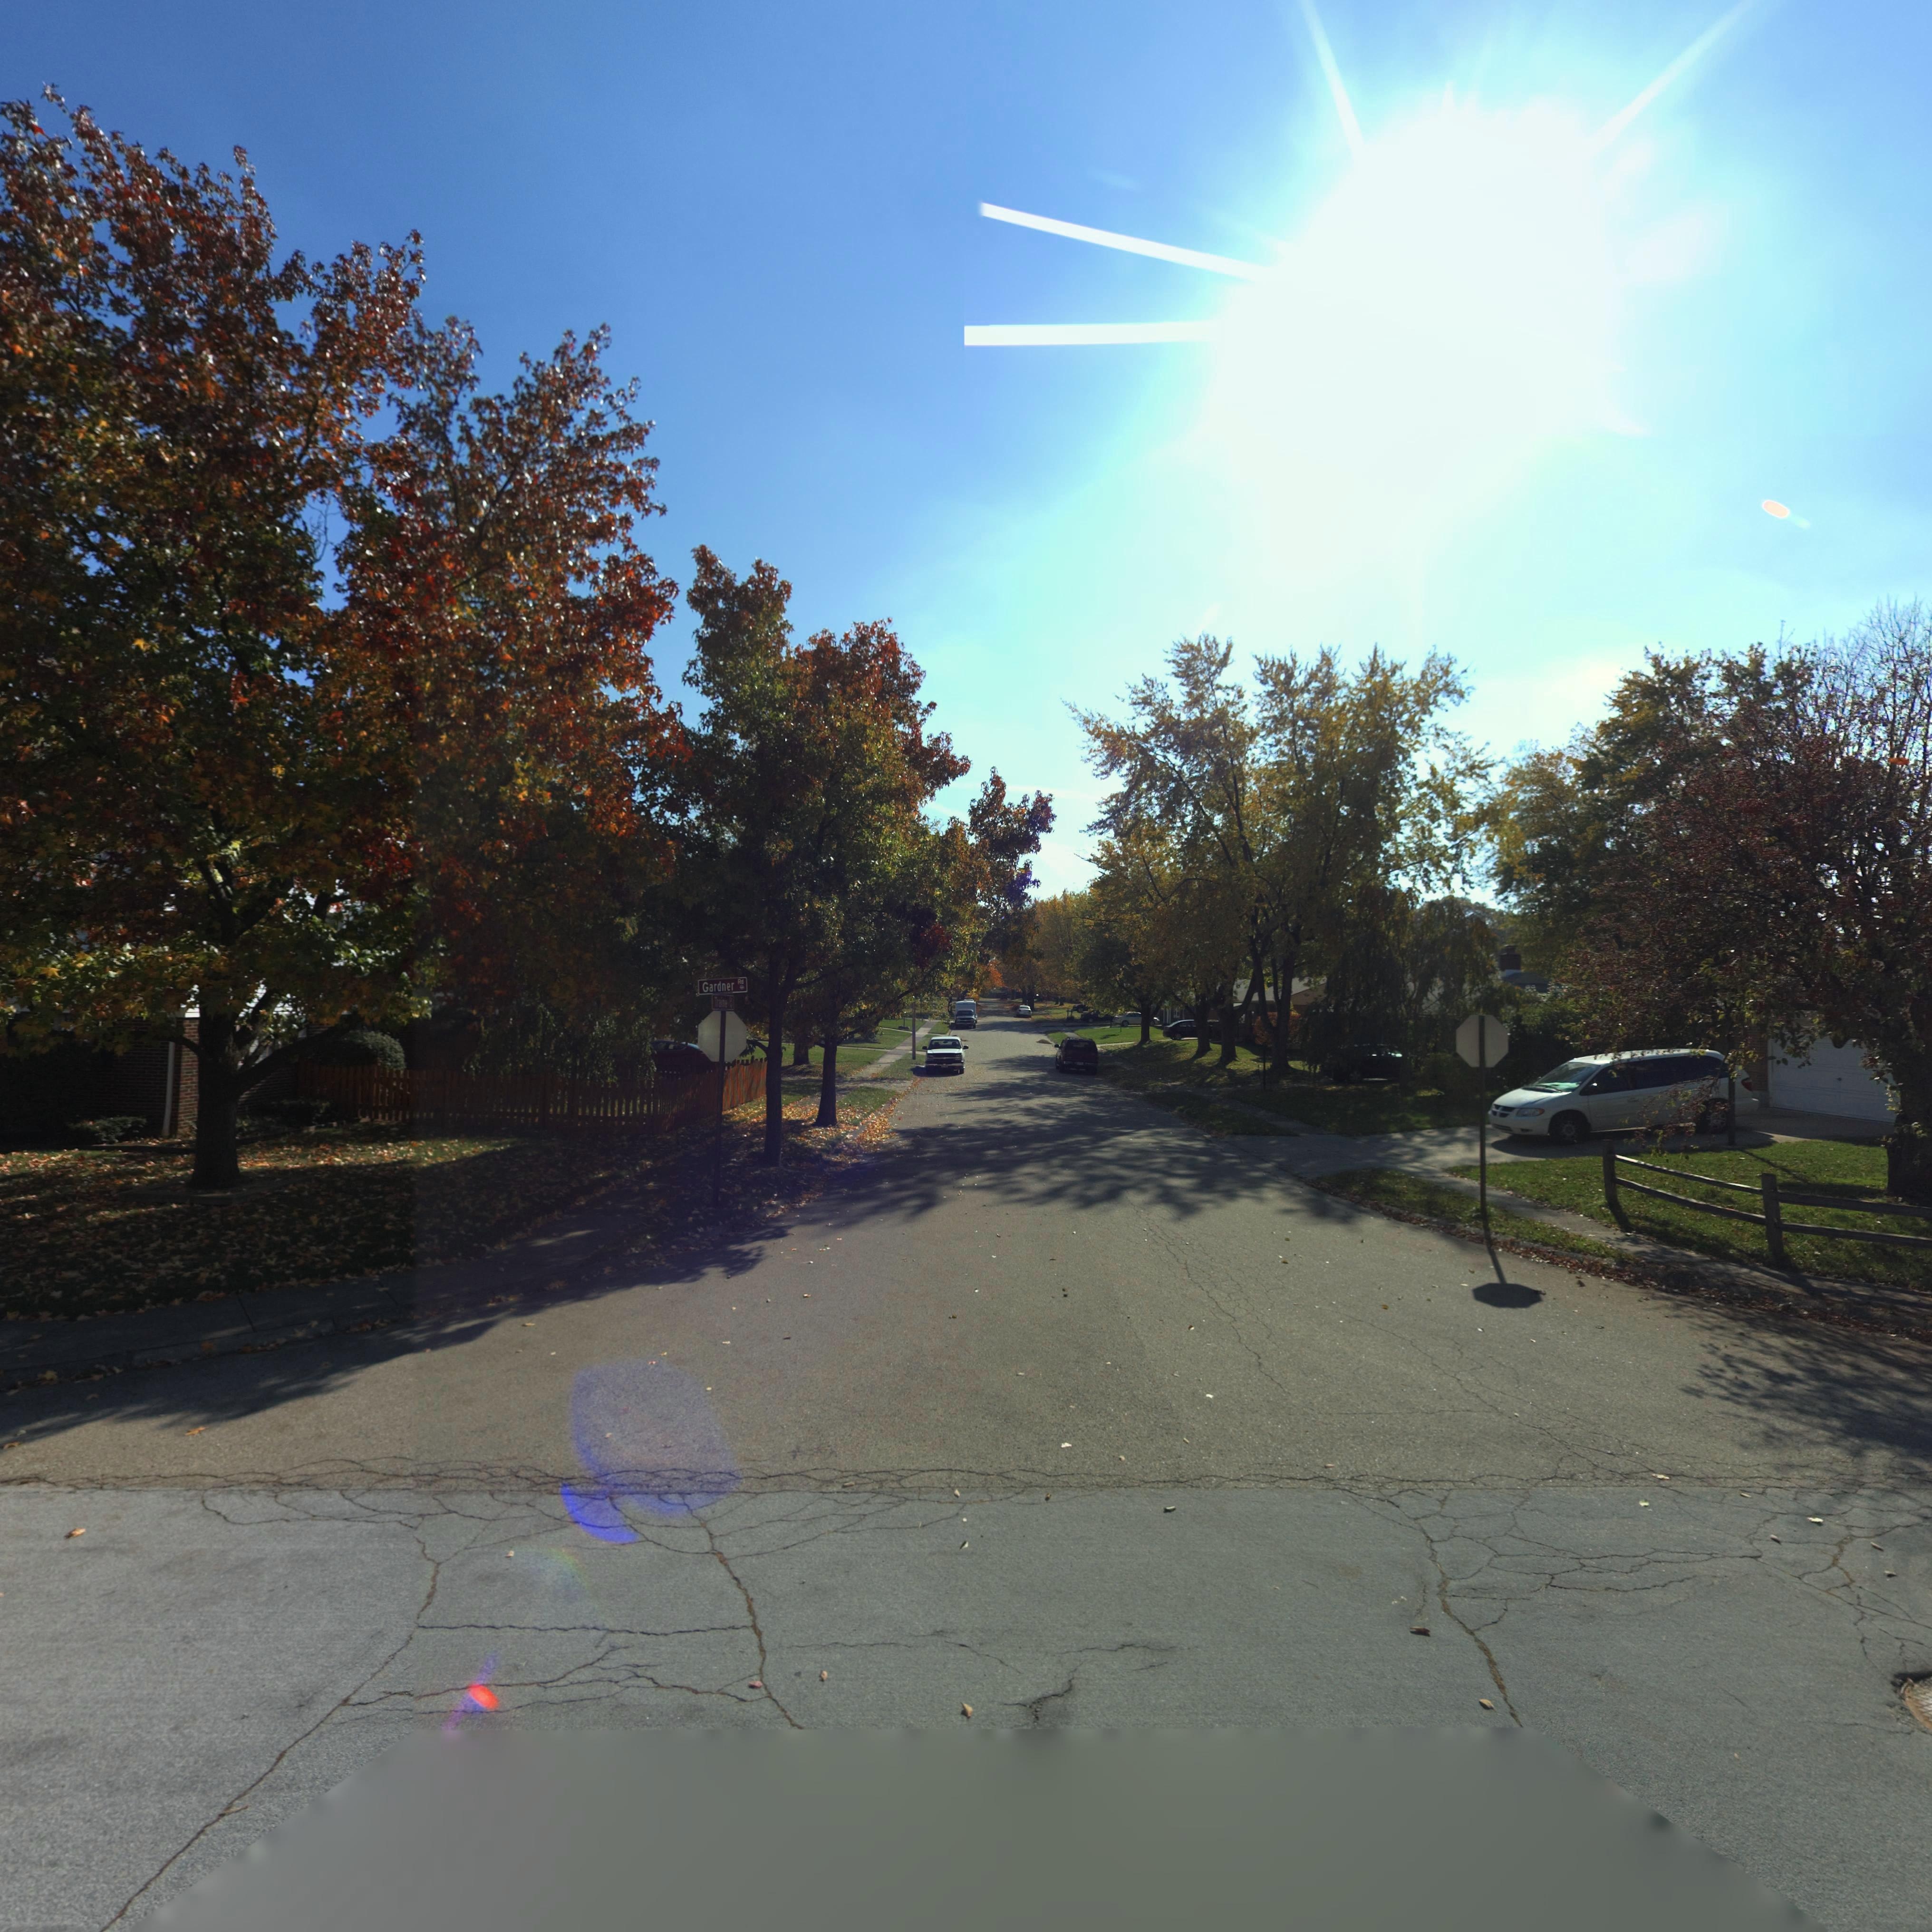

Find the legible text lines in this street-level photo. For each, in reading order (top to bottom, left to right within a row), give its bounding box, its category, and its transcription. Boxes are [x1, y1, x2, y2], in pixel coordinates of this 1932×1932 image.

[702, 978, 744, 993] StreetName: Gardner Rd
[714, 996, 728, 1008] StreetName: Traine